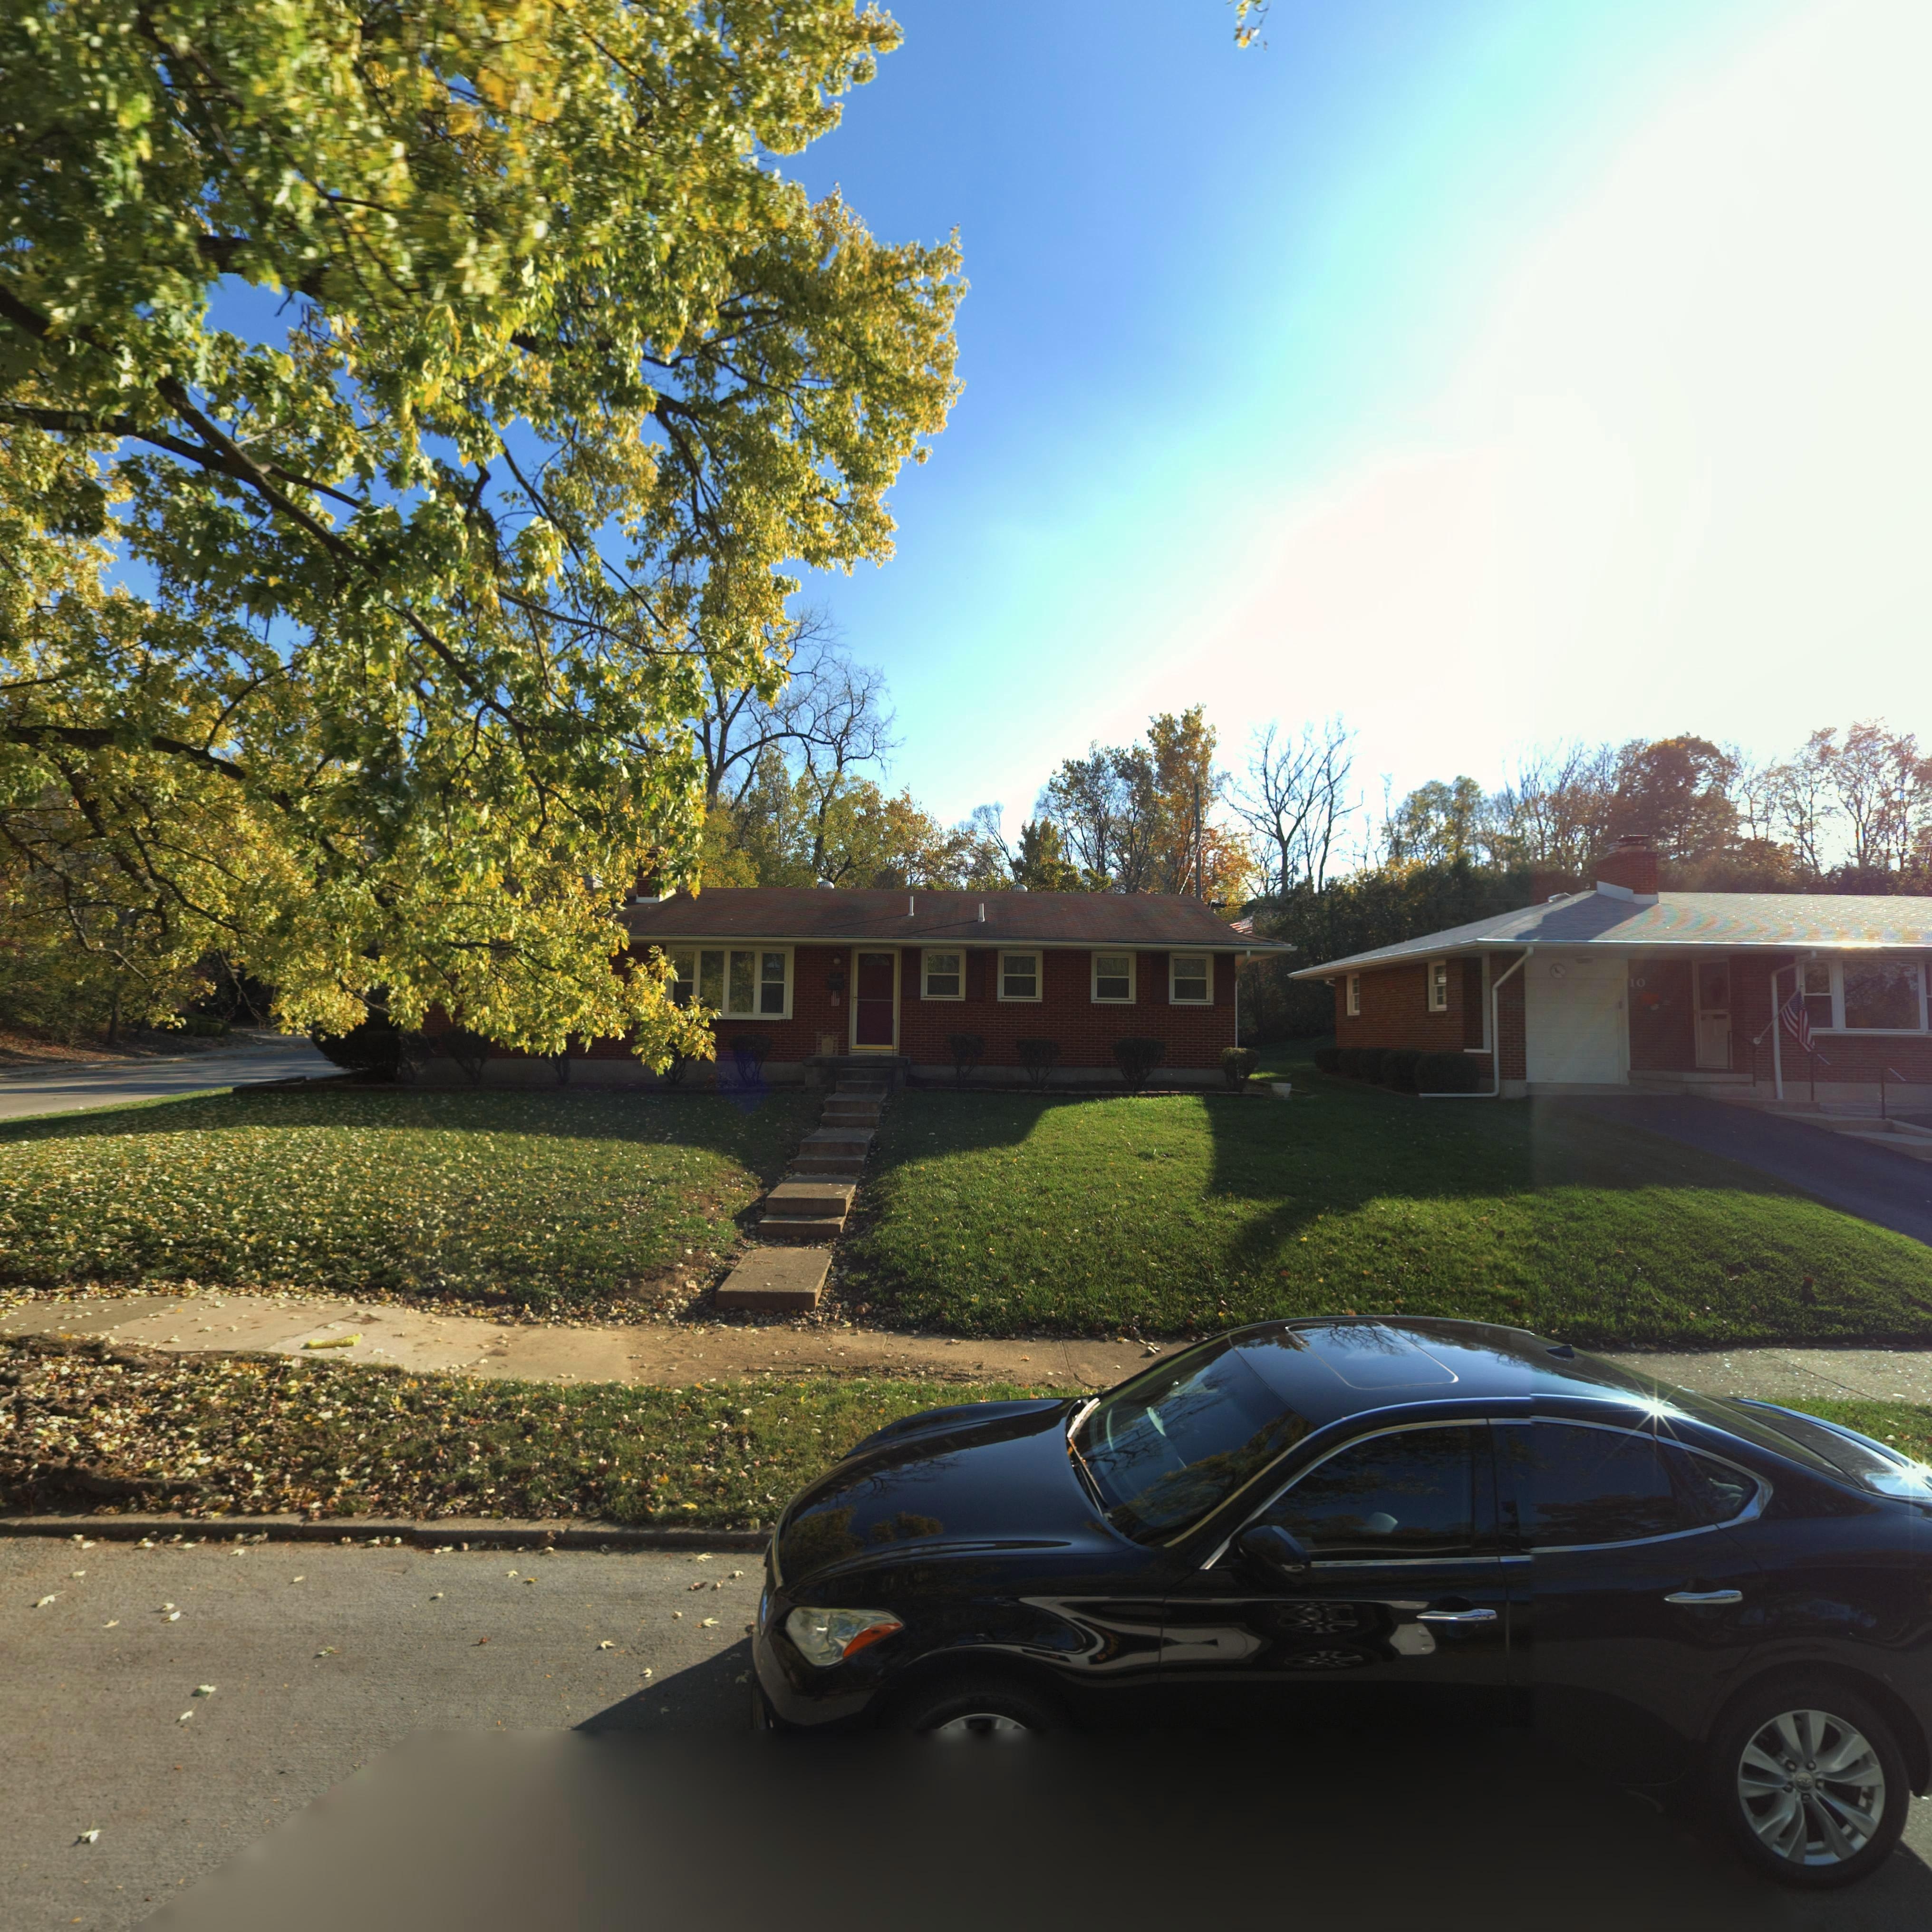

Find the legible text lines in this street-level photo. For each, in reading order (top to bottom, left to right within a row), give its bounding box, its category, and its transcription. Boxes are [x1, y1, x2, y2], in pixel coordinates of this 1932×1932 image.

[833, 973, 838, 978] StreetNumber: 4
[1628, 977, 1646, 988] StreetNumber: 10